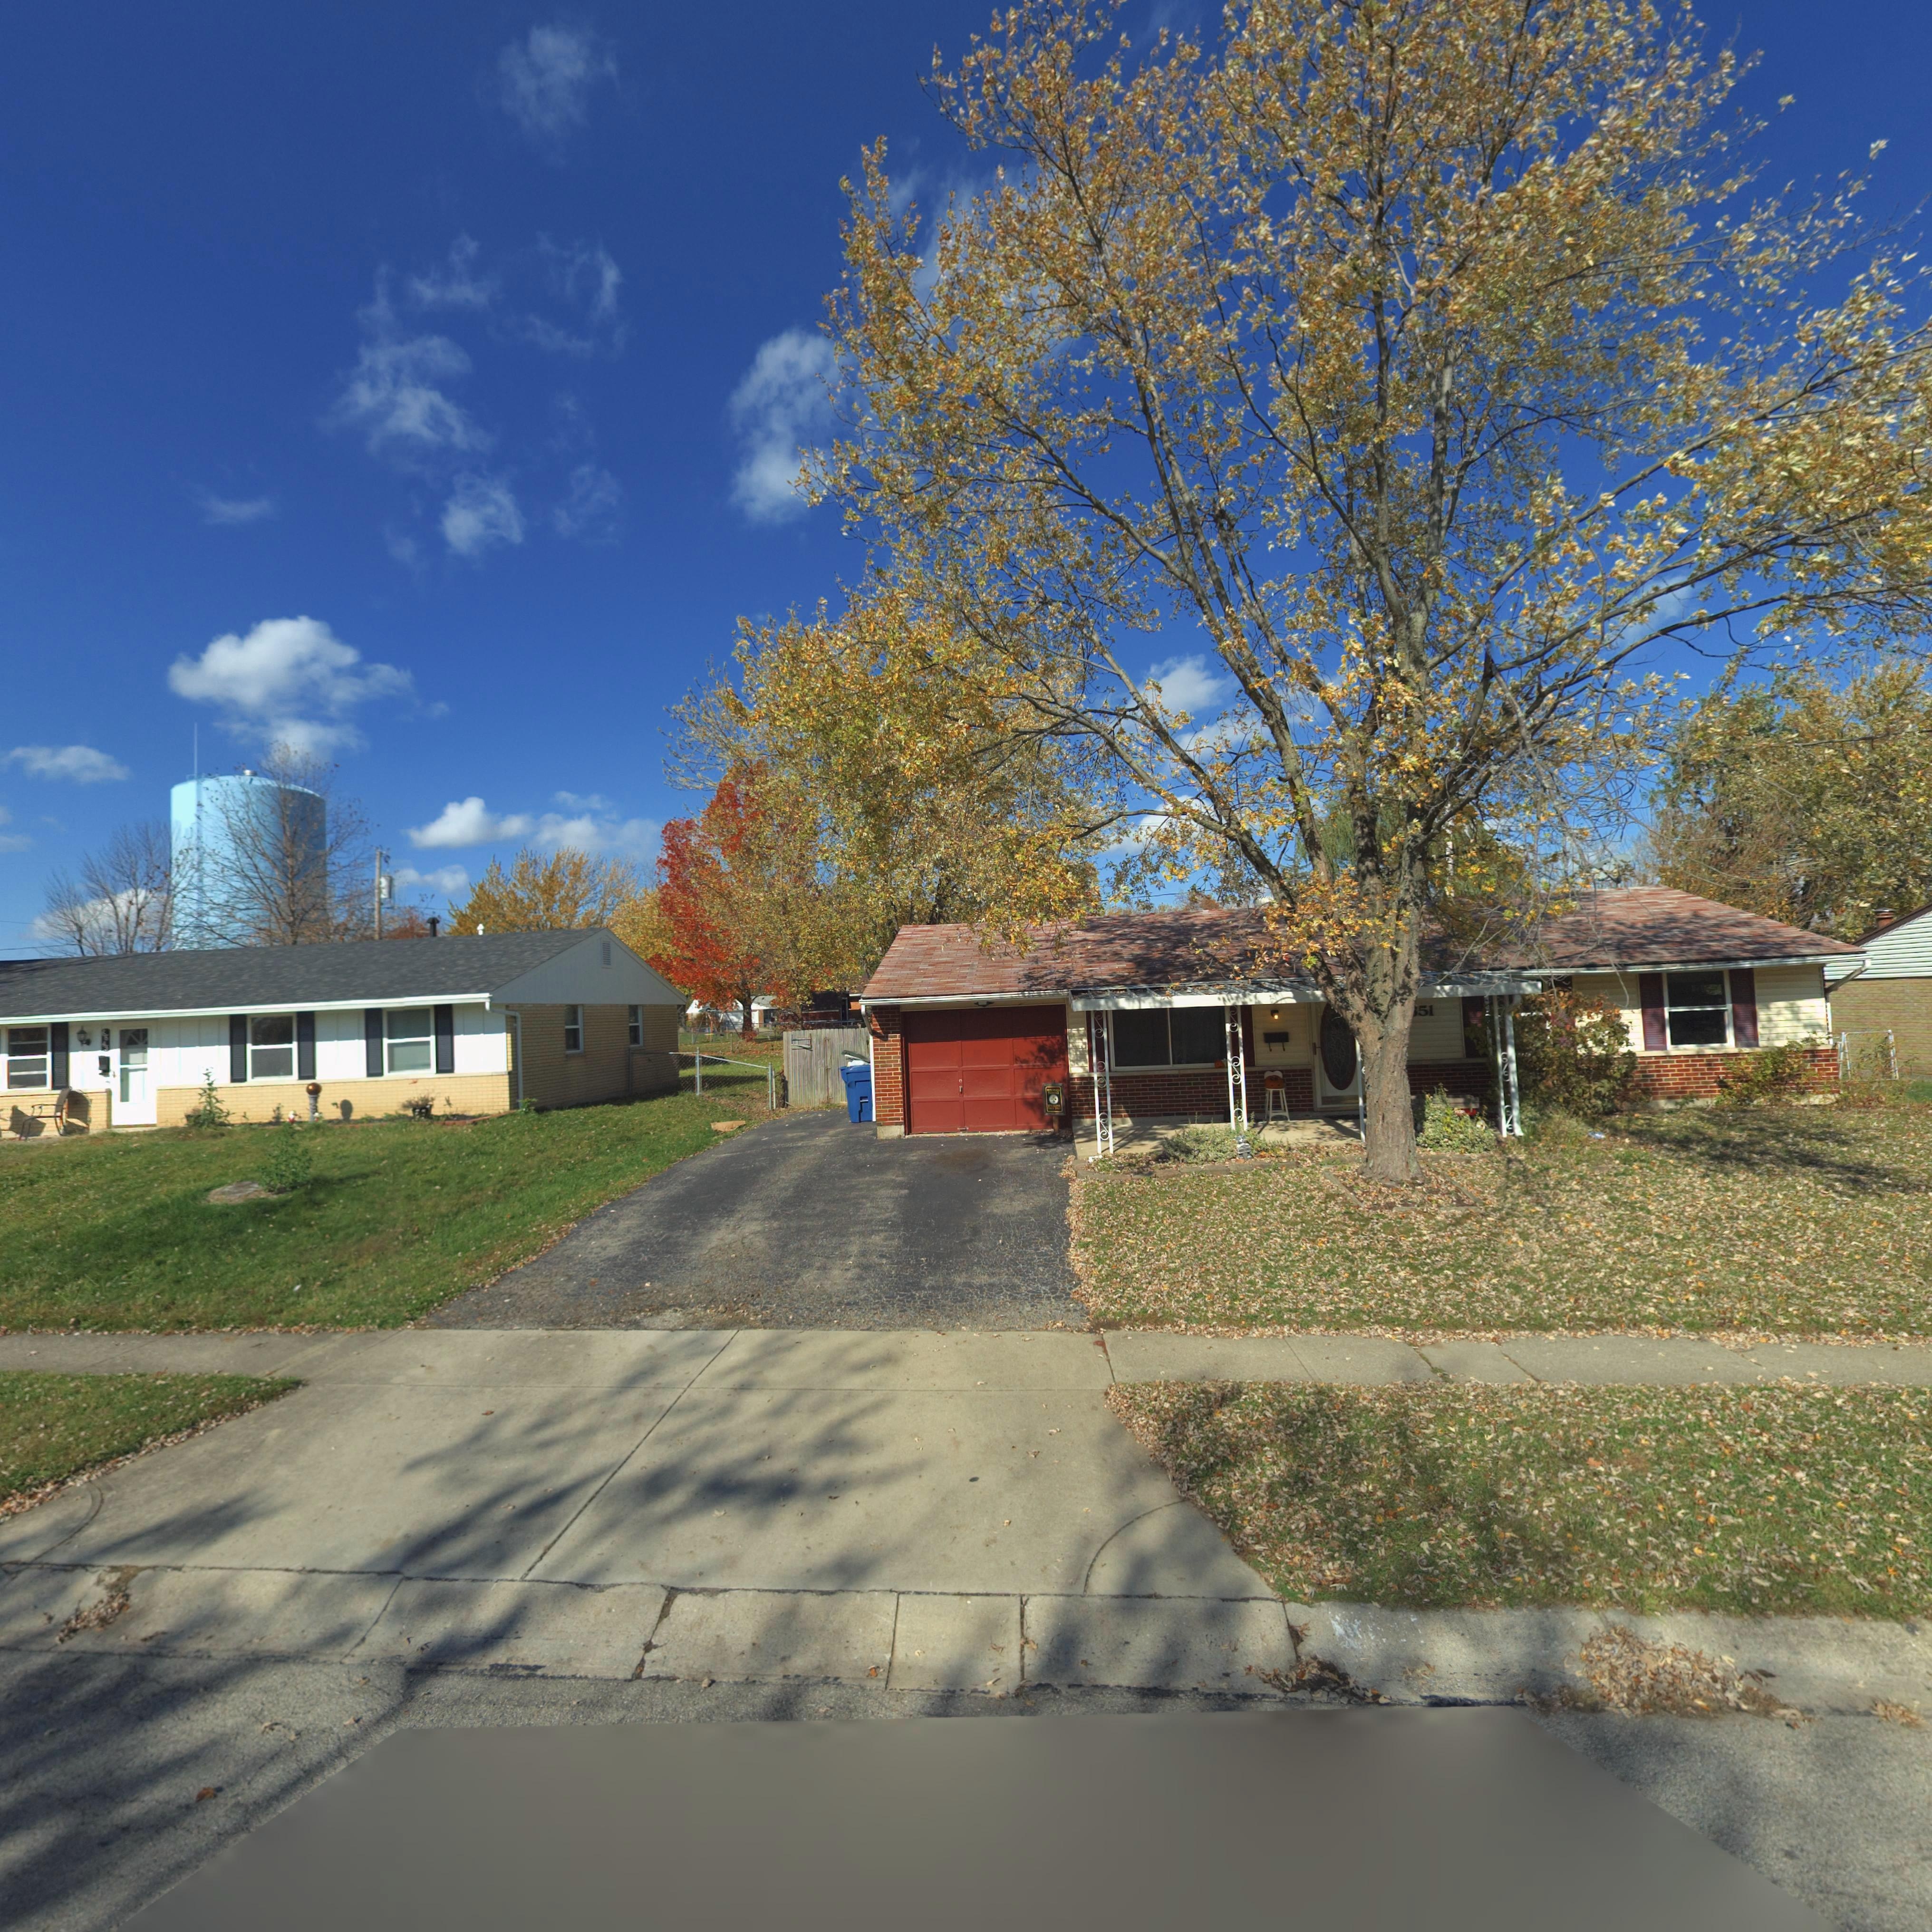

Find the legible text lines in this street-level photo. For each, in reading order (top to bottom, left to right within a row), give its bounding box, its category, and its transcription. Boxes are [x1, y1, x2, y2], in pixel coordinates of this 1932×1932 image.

[1418, 1004, 1434, 1016] StreetNumber: 51
[101, 1028, 109, 1042] StreetNumber: 66
[101, 1041, 109, 1050] StreetNumber: 4*